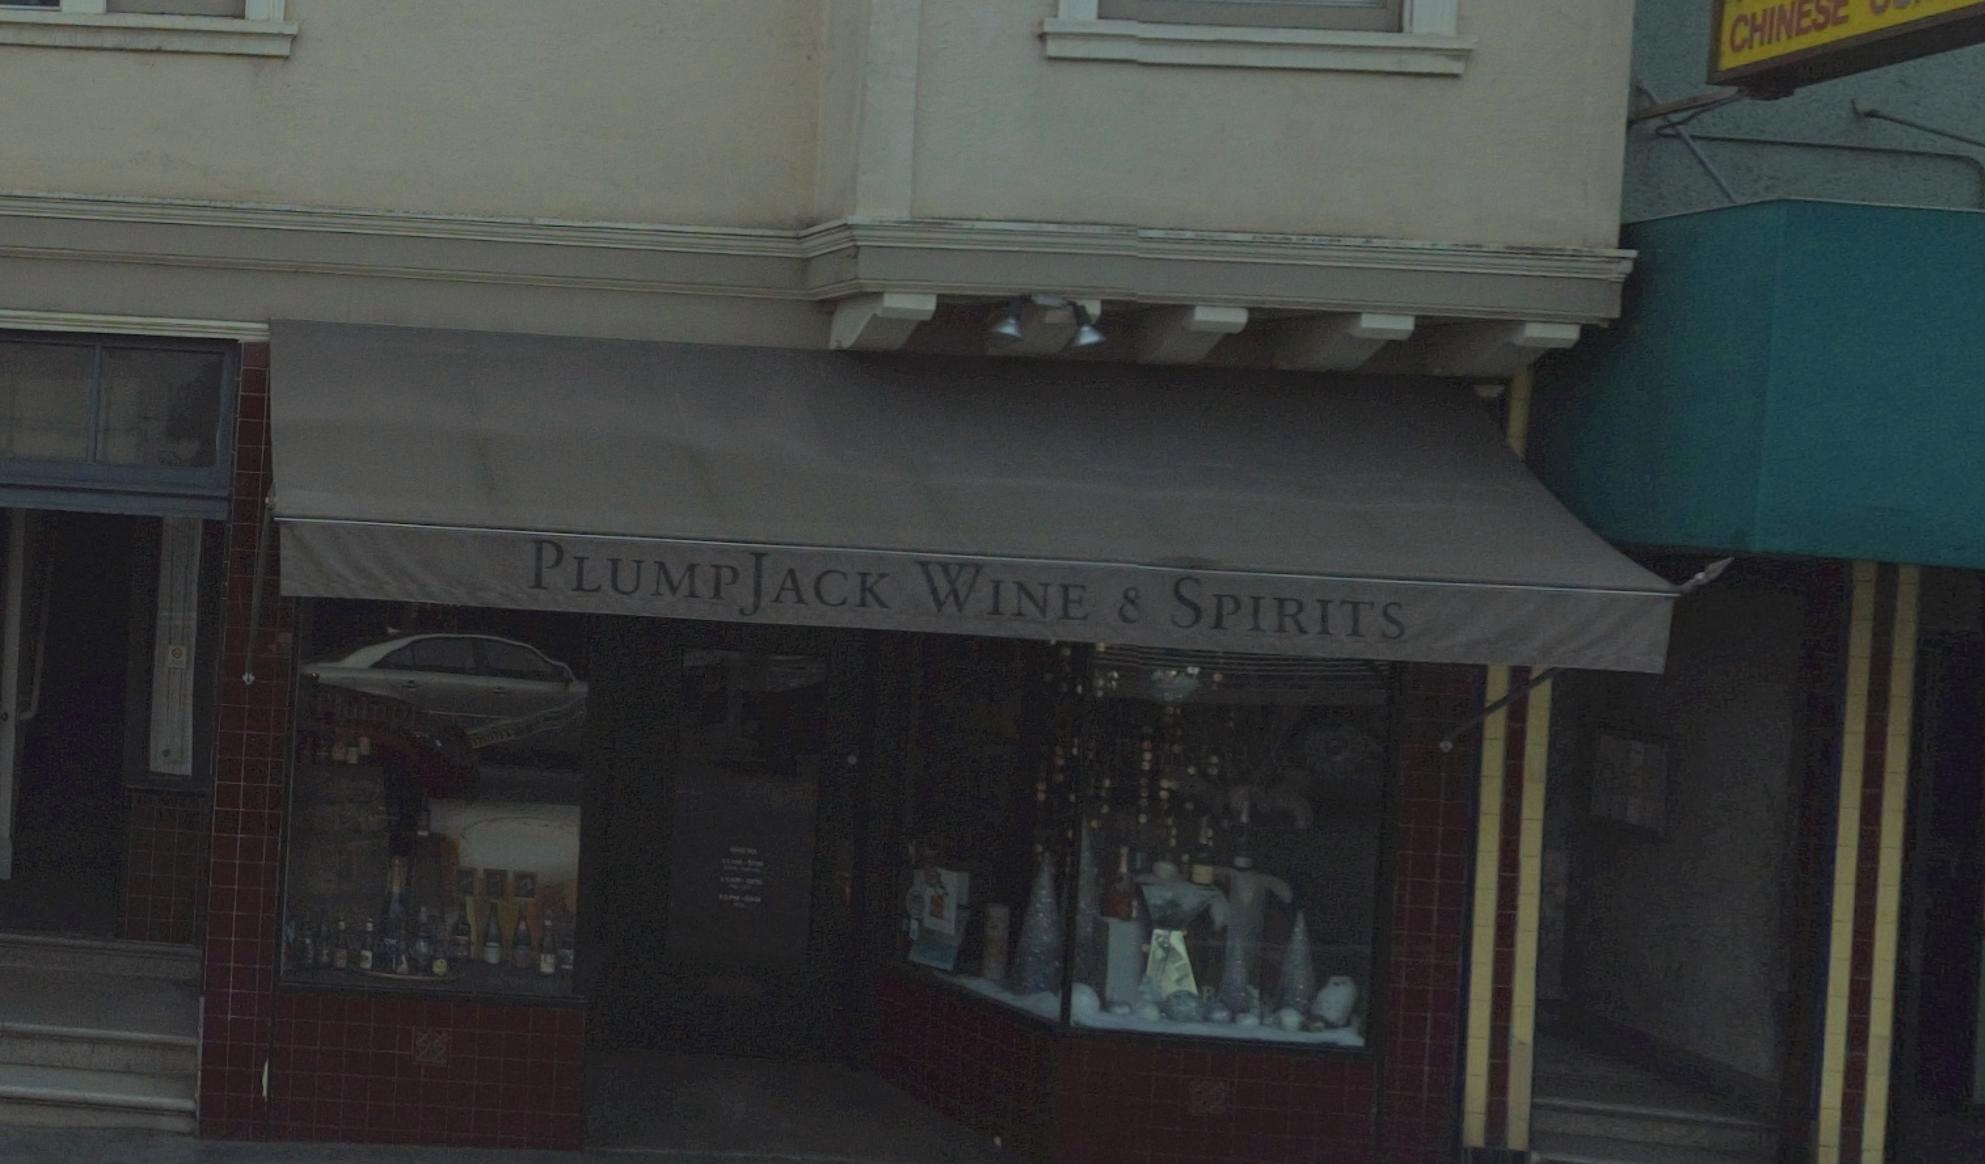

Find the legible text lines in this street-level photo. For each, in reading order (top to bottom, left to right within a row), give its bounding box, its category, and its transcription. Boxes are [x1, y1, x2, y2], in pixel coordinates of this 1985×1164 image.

[1727, 0, 1797, 57] None: CHIN
[522, 536, 1410, 644] BusinessName: PLUMPJACK WINE & SPIRITS
[312, 687, 410, 739] None: Plump